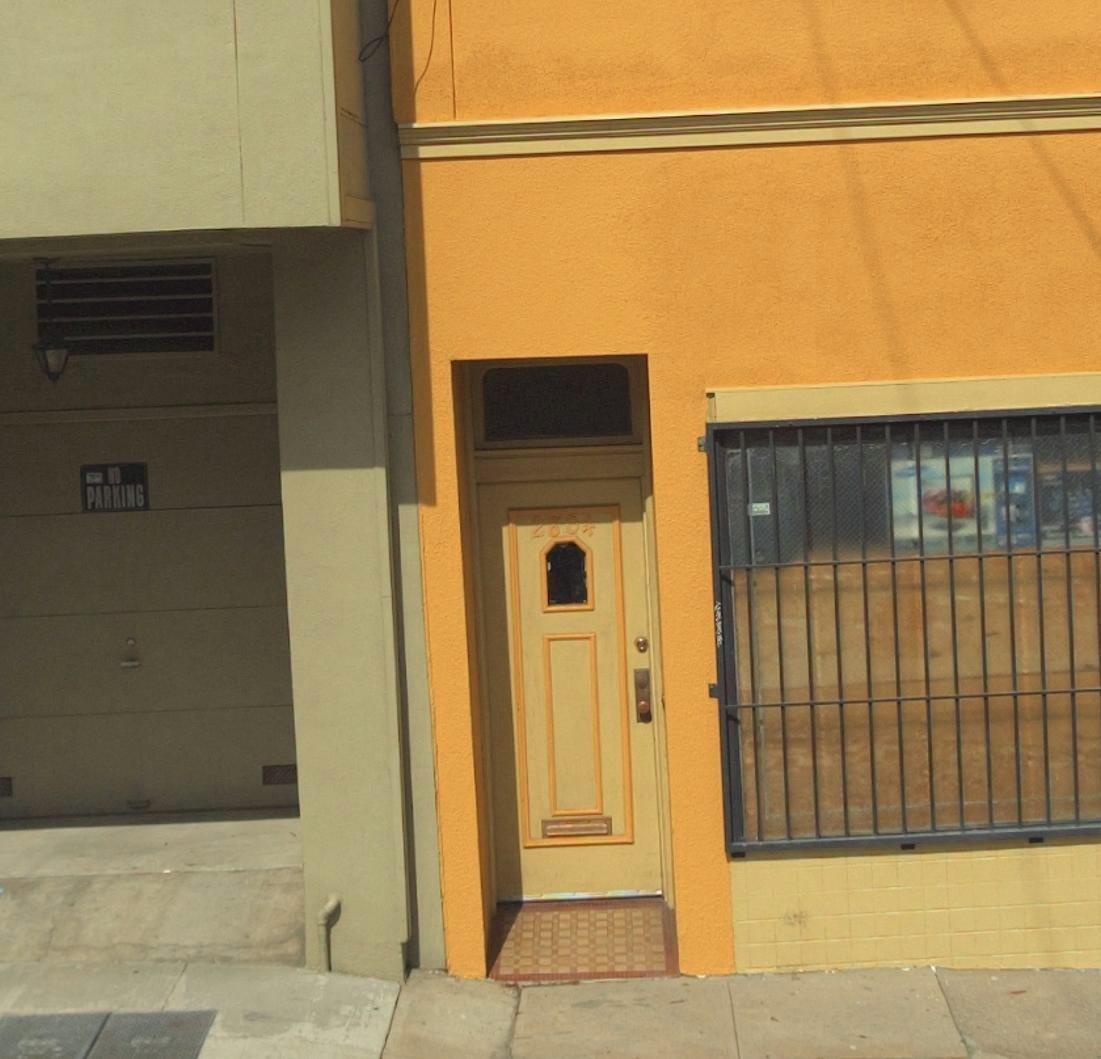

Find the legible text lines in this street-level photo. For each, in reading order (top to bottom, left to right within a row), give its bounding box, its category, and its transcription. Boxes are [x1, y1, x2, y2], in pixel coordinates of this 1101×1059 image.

[104, 463, 125, 487] None: *O
[84, 481, 147, 513] None: PARKING
[528, 510, 598, 542] StreetNumber: 2804